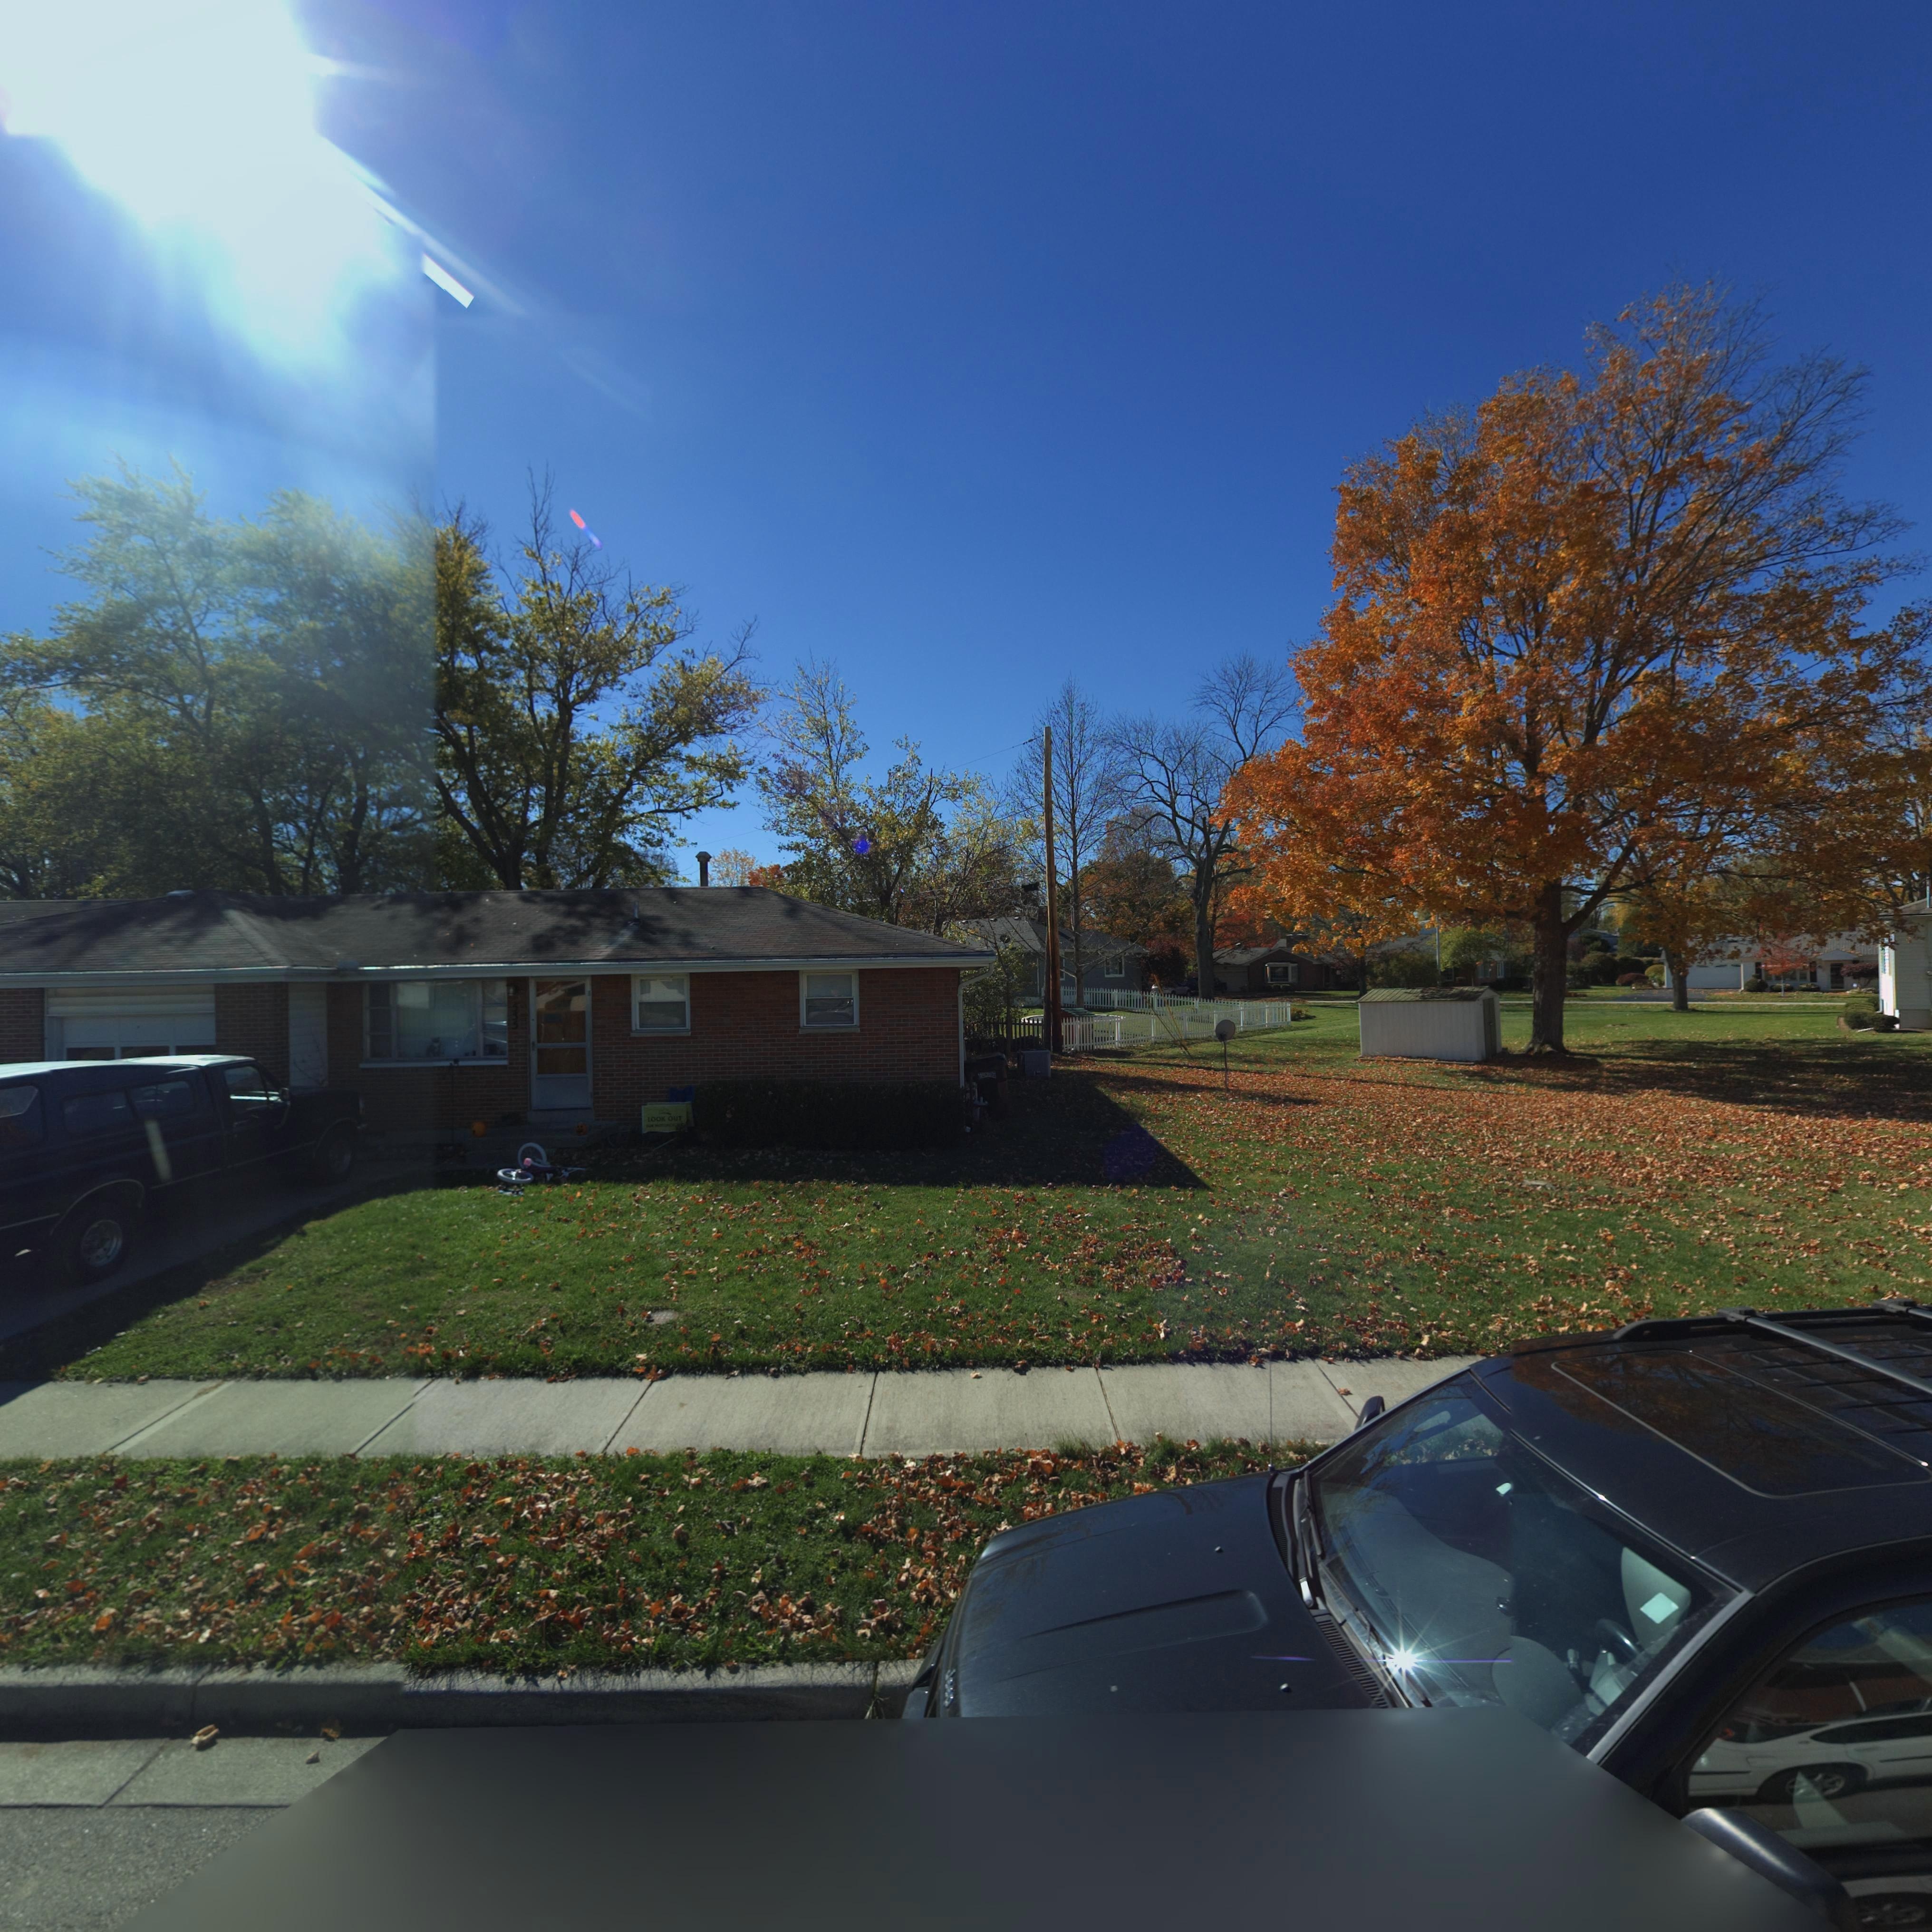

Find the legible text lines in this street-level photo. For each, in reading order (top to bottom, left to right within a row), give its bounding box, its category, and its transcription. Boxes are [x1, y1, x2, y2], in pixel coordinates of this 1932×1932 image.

[512, 1003, 519, 1030] StreetNumber: 555